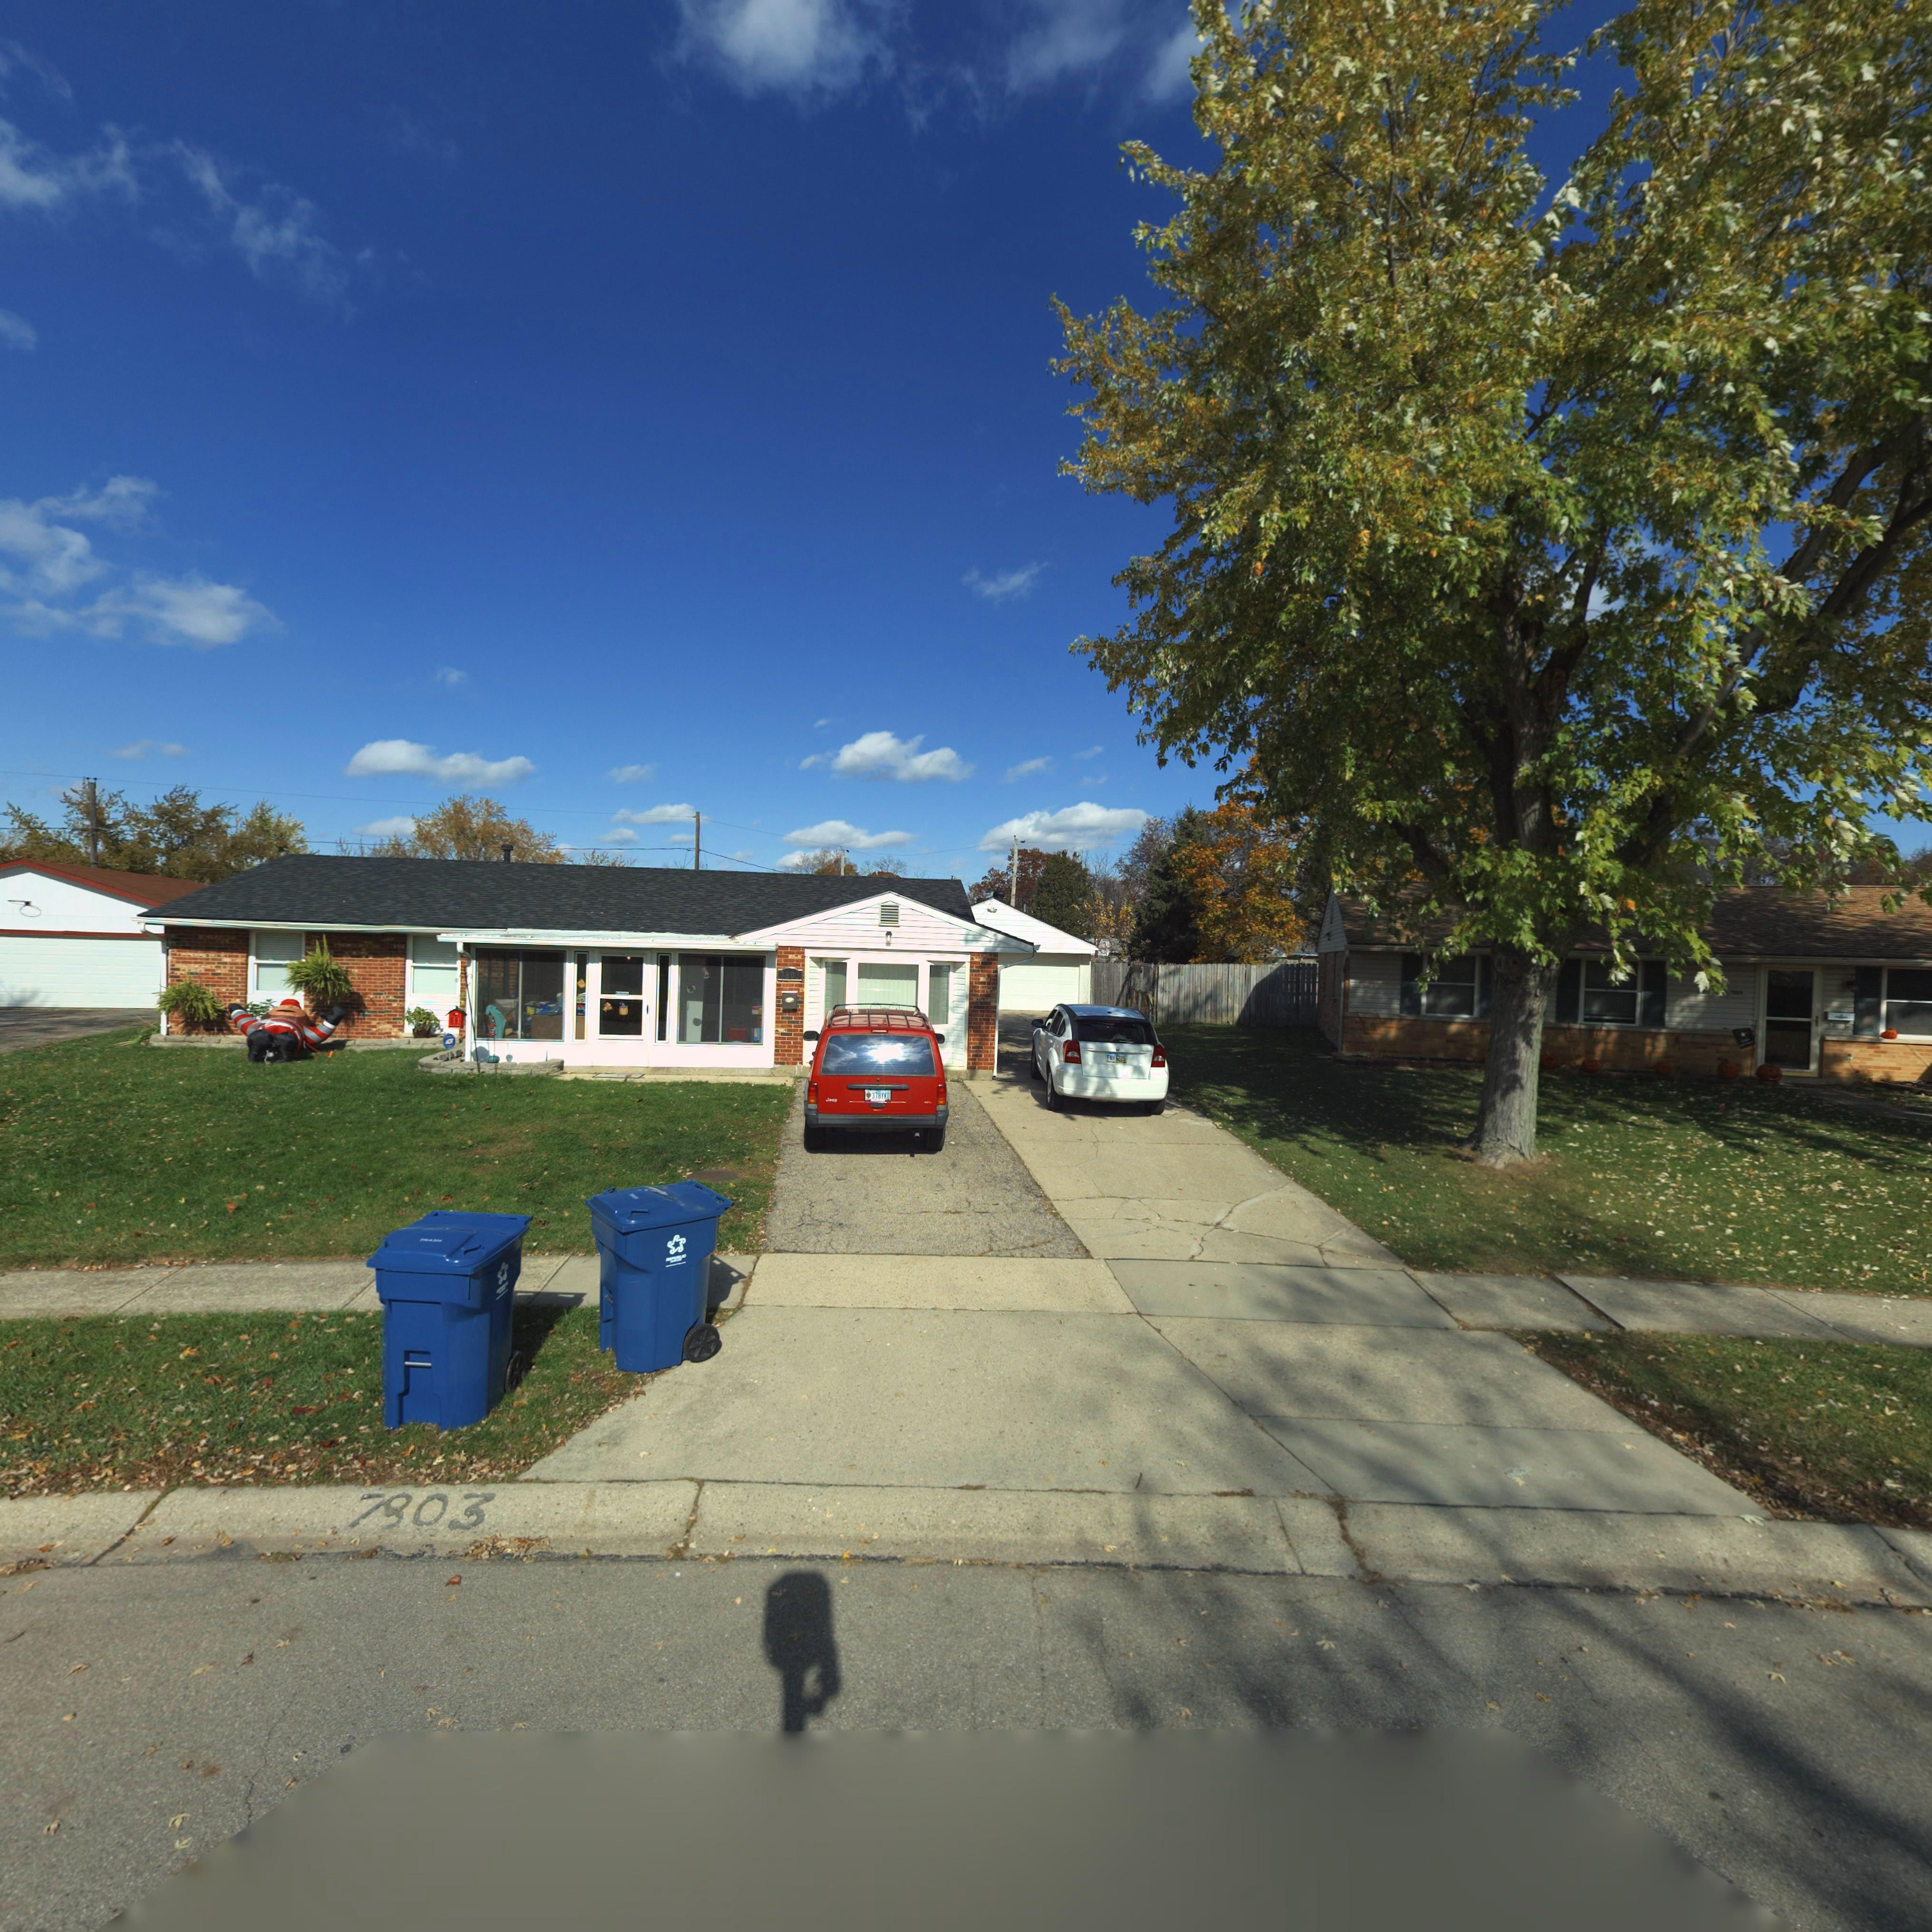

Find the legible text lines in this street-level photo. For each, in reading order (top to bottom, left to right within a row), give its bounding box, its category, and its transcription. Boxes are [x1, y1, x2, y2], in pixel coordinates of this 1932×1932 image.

[780, 971, 801, 979] StreetNumber: 7803
[1729, 990, 1744, 995] StreetNumber: 7*09
[342, 1492, 499, 1533] StreetNumber: 7*03